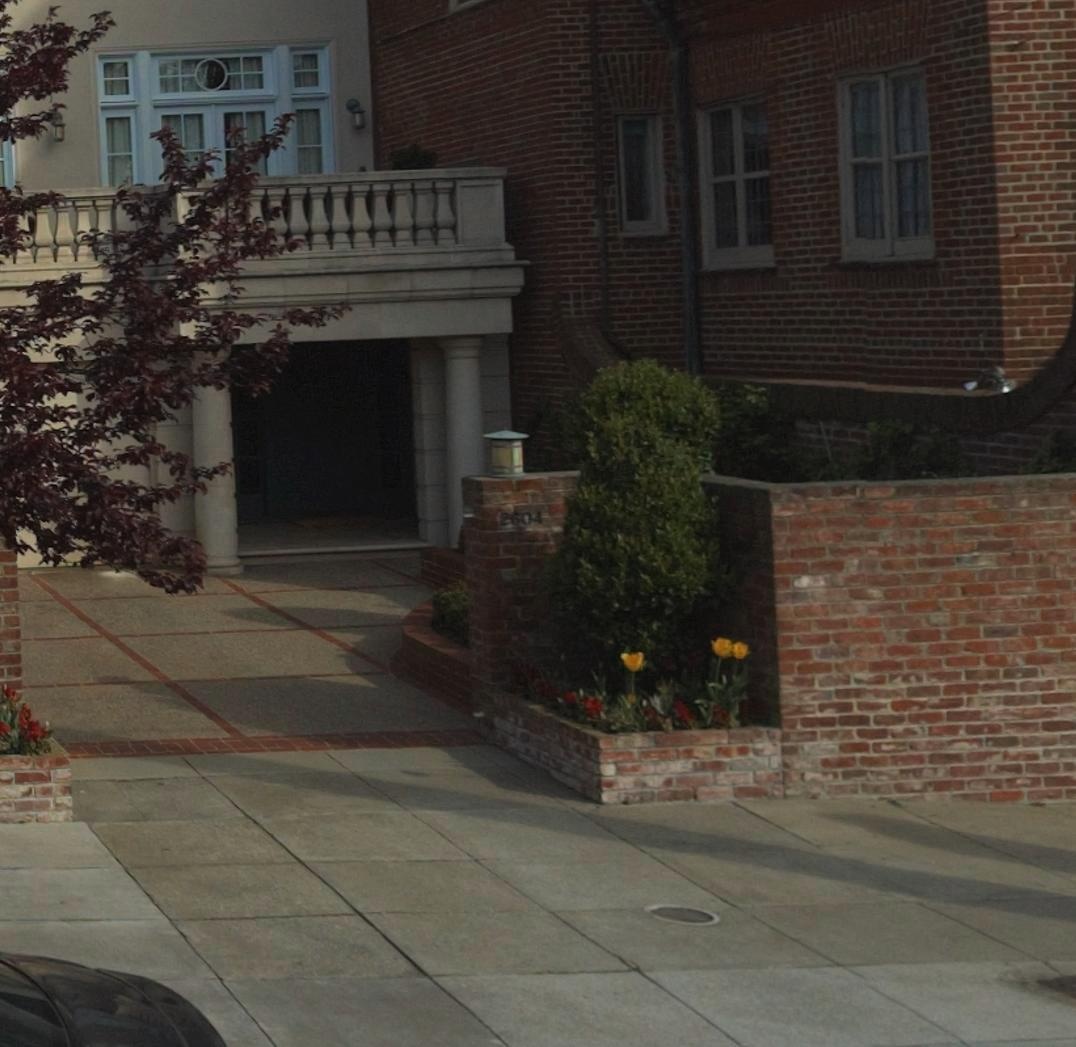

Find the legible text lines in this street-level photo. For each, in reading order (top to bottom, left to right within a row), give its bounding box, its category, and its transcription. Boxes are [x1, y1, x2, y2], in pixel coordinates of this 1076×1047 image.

[498, 509, 545, 527] StreetNumber: 2604